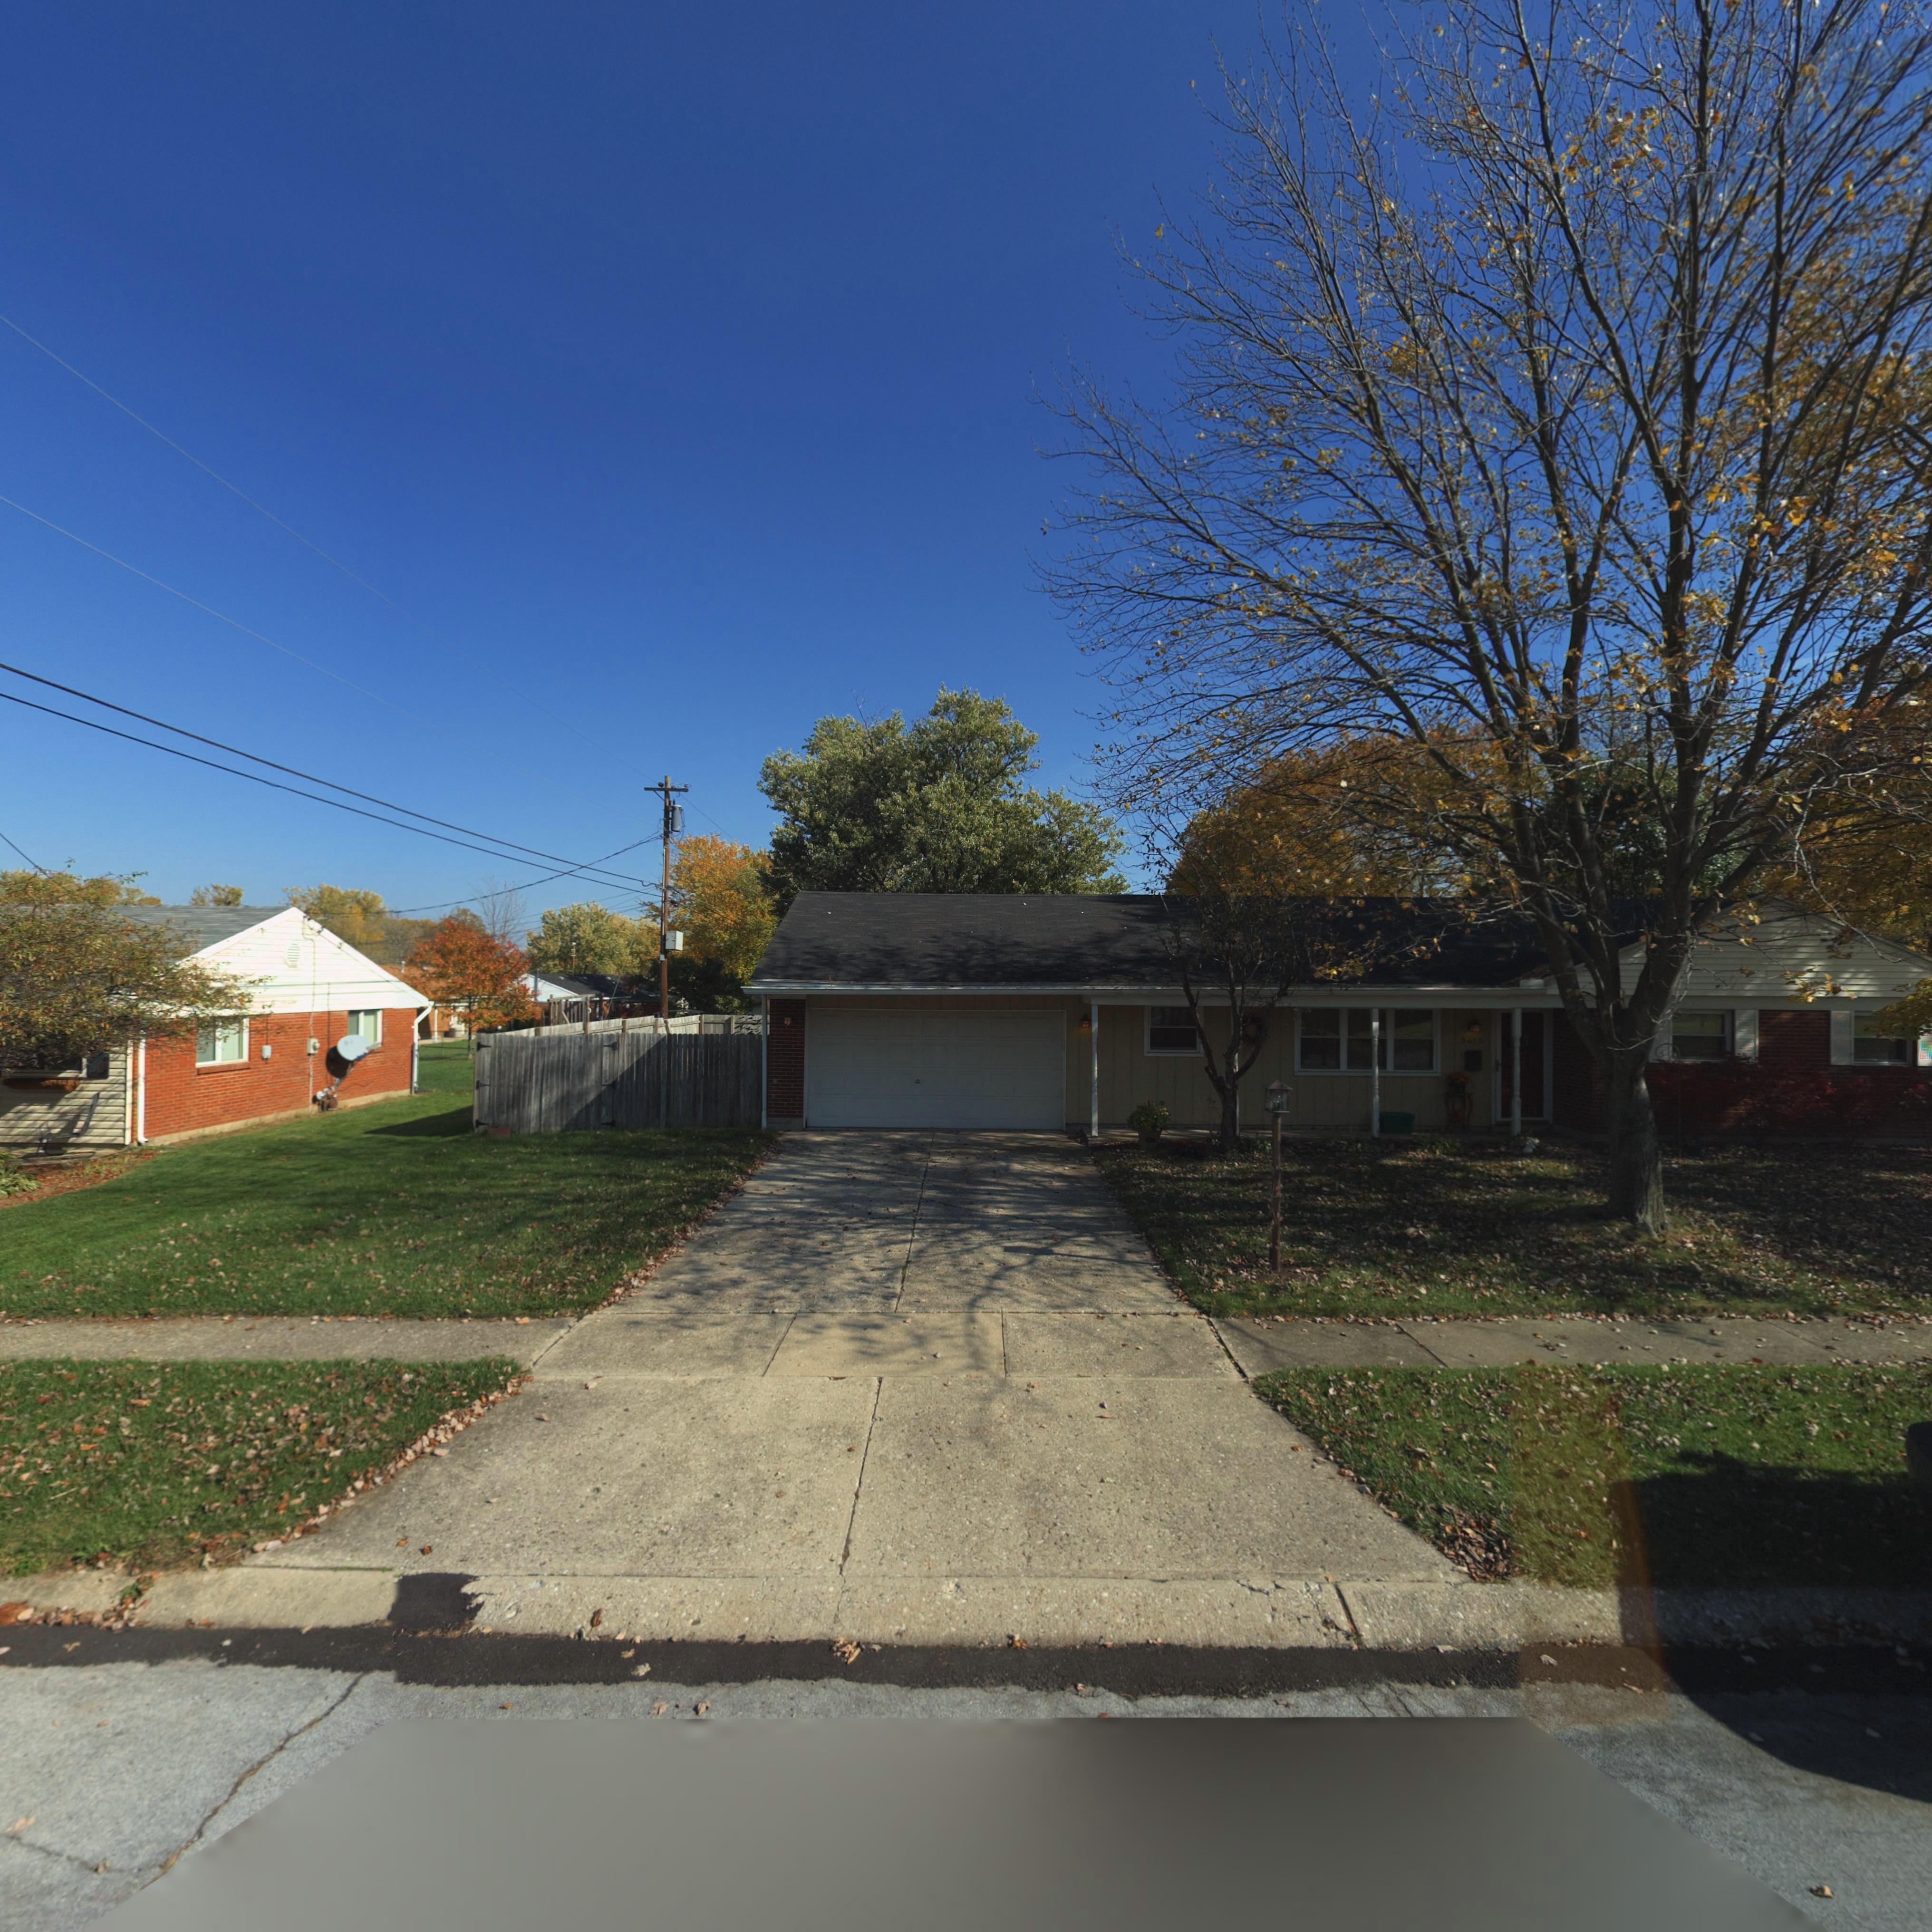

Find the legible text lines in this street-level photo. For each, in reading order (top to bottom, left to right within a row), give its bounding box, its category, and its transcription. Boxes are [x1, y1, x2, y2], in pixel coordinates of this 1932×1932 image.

[1459, 1036, 1484, 1044] StreetNumber: 3610